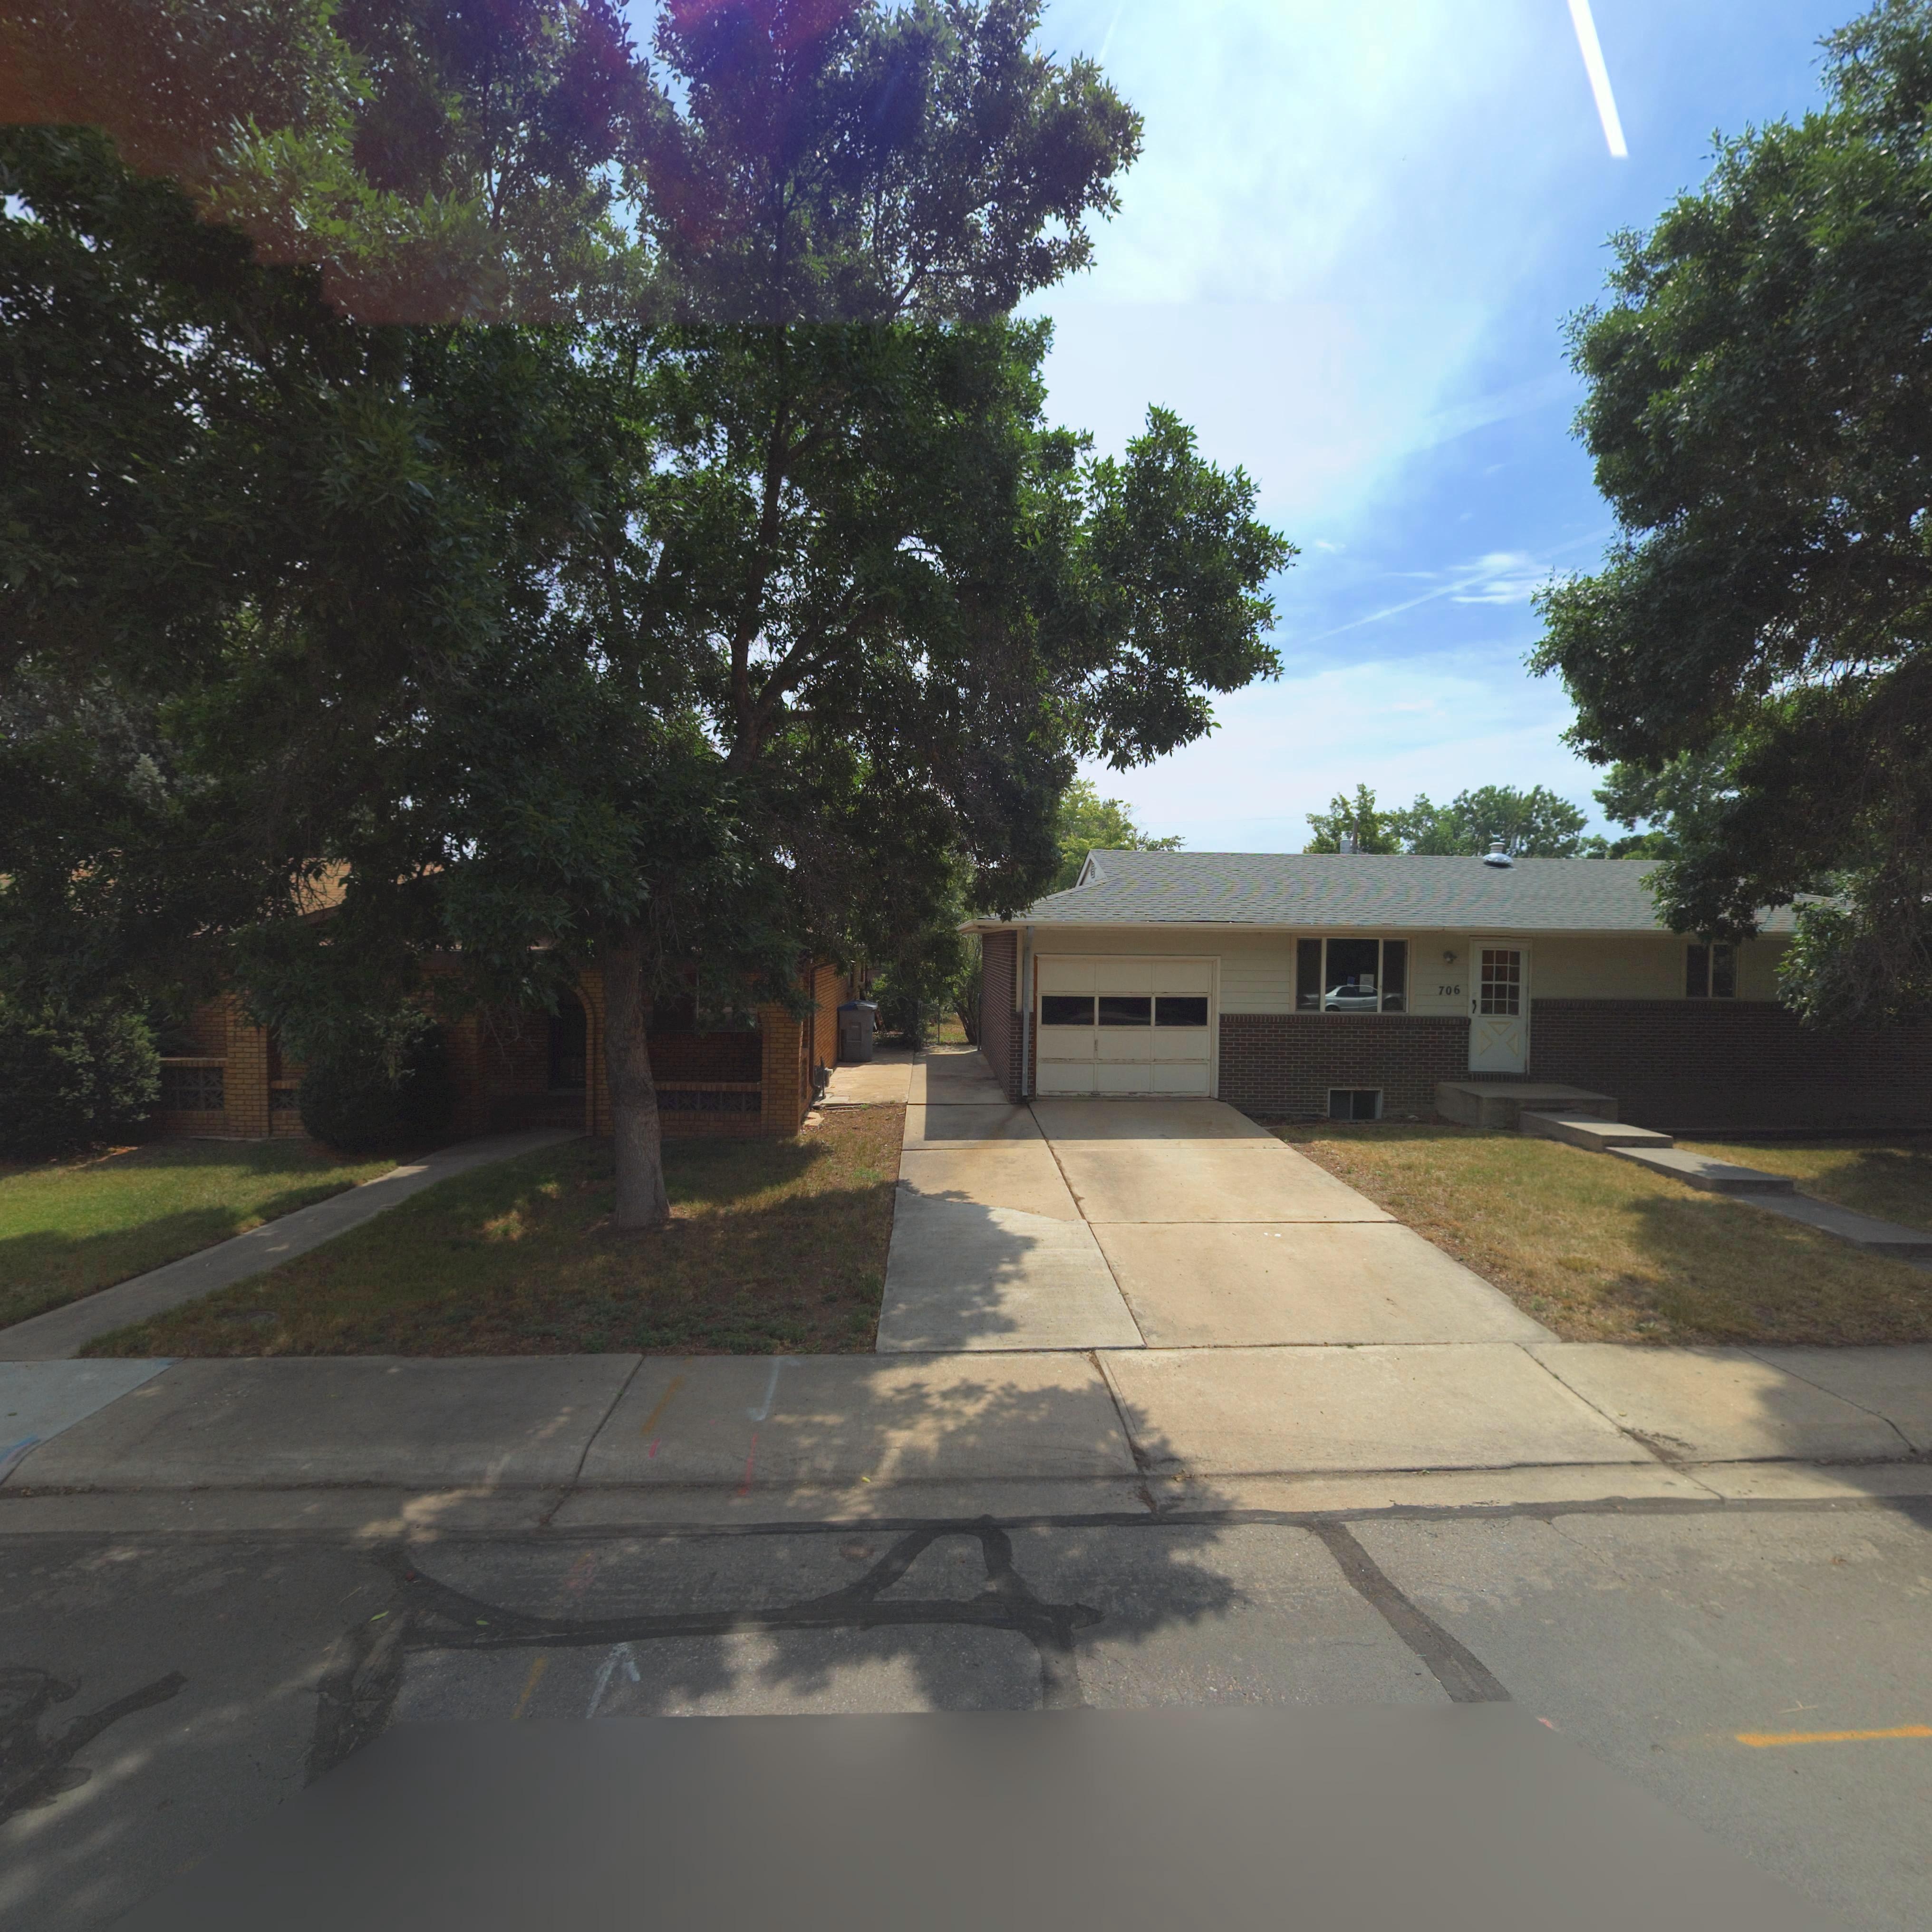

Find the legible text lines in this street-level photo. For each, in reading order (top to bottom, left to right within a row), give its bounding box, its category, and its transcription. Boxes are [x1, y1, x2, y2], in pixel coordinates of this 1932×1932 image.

[1438, 985, 1460, 995] StreetNumber: 706